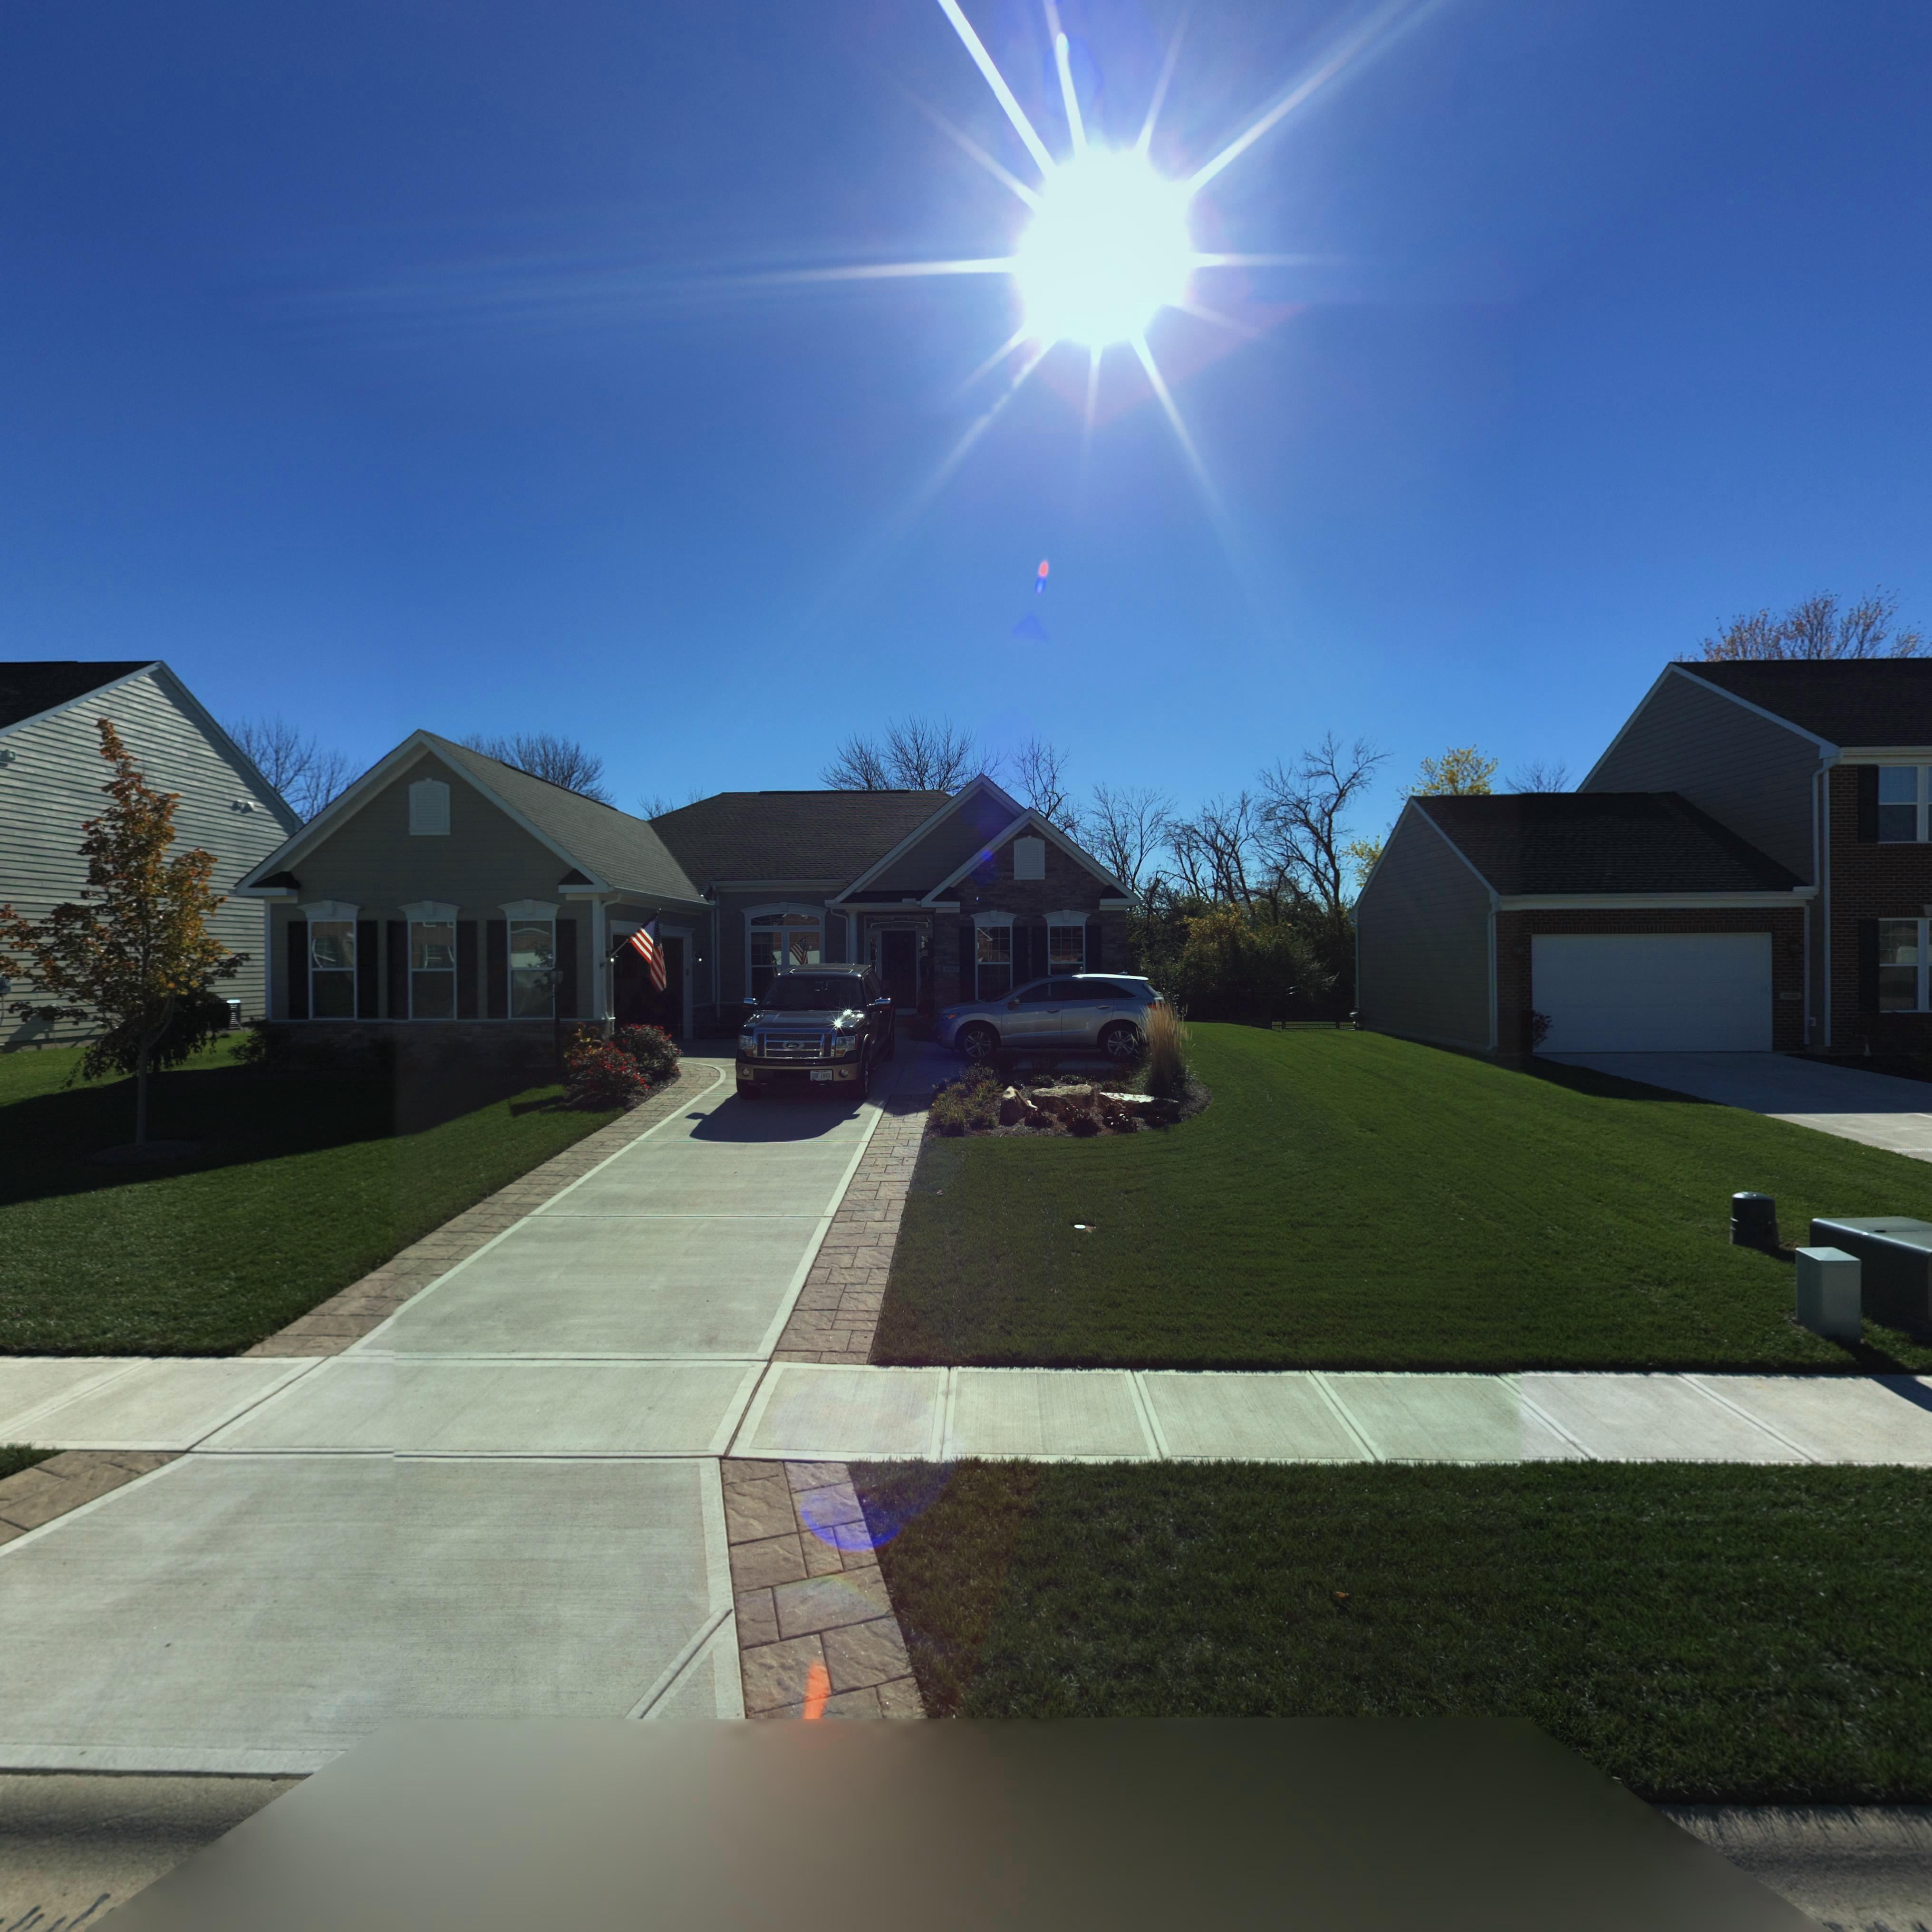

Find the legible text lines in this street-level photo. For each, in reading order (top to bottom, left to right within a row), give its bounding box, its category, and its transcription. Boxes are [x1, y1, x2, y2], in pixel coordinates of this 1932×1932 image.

[945, 966, 957, 972] StreetNumber: **62